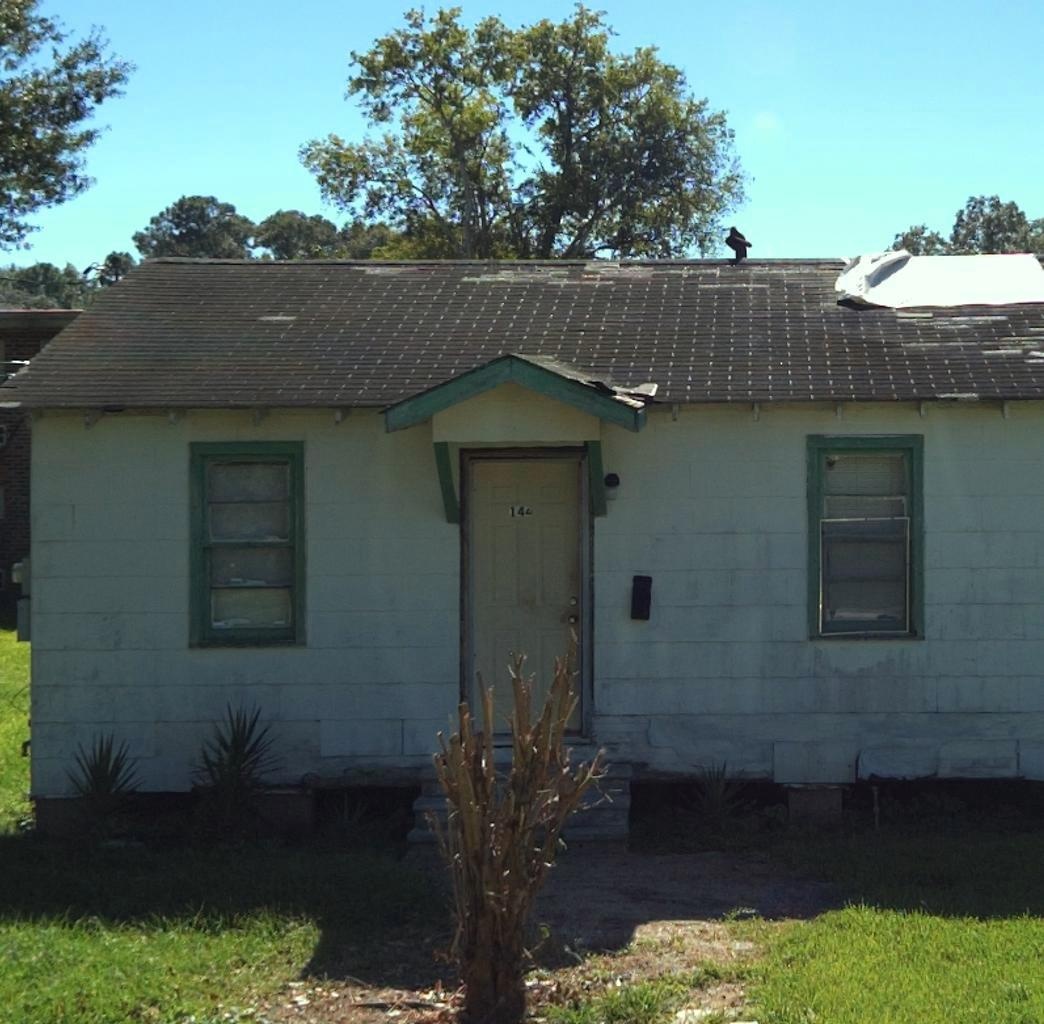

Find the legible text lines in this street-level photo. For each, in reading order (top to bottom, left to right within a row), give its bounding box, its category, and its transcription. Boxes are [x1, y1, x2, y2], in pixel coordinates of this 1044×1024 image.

[509, 505, 533, 518] StreetNumber: 14*